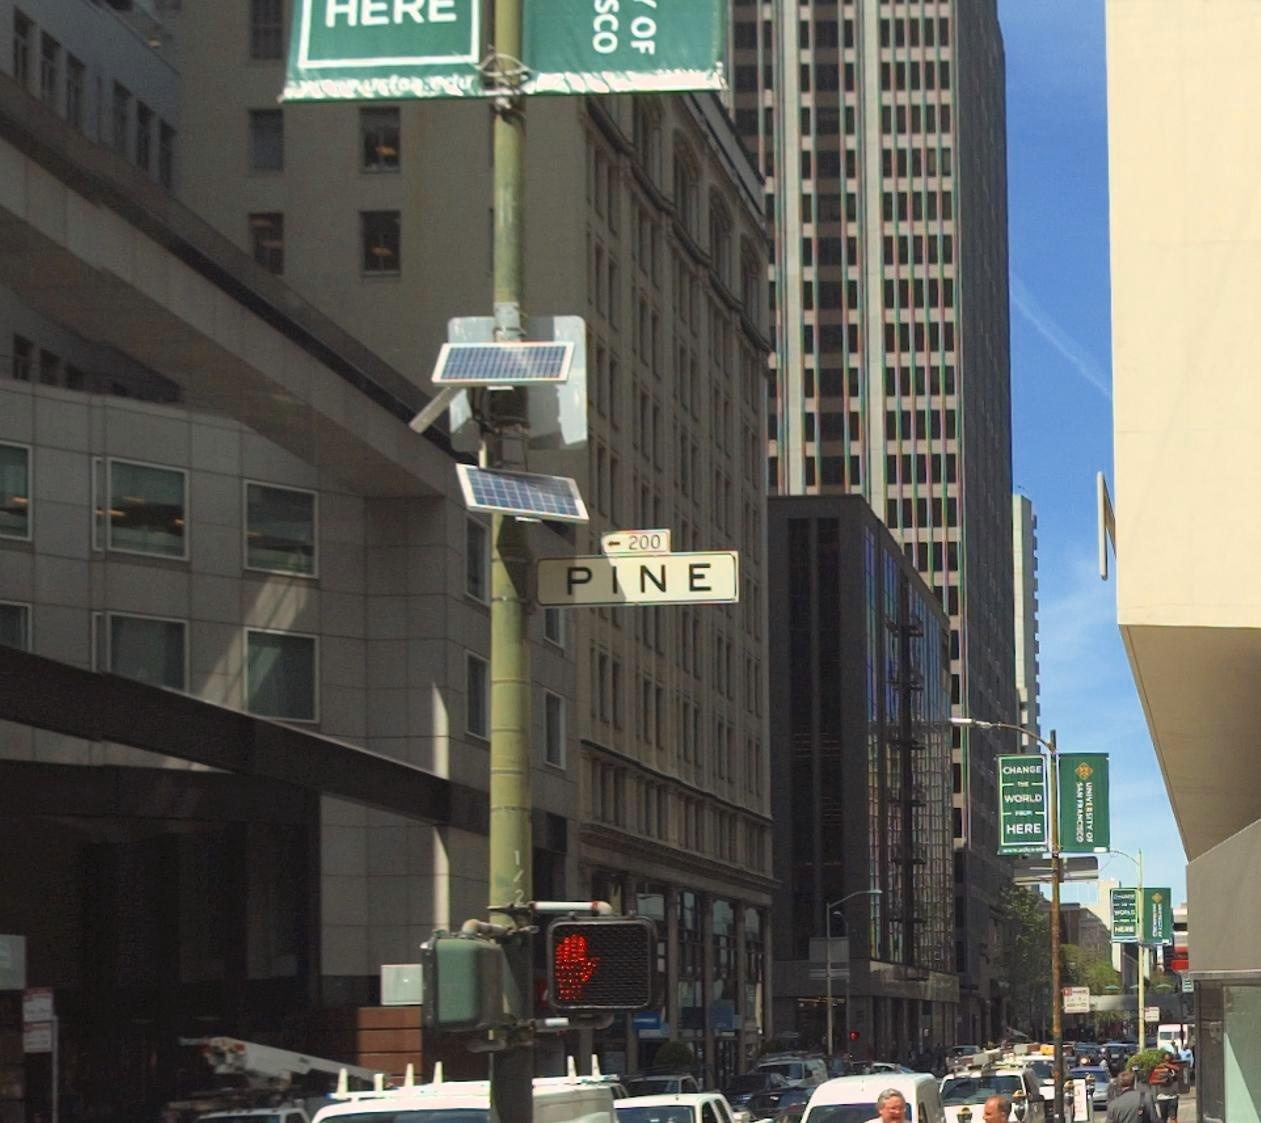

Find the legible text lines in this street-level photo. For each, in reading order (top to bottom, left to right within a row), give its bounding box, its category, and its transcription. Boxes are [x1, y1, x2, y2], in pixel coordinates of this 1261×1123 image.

[592, 0, 620, 56] None: sco
[628, 15, 657, 55] None: OF
[604, 533, 661, 551] StreetNumberRange: <-200
[564, 561, 714, 597] StreetName: PINE
[1002, 764, 1042, 776] None: CHANGE
[1004, 793, 1043, 804] None: WORLD
[1005, 821, 1042, 836] None: HERE
[1074, 779, 1084, 845] None: SAN FRANCISCO
[1084, 779, 1095, 844] None: UNIVERSITY